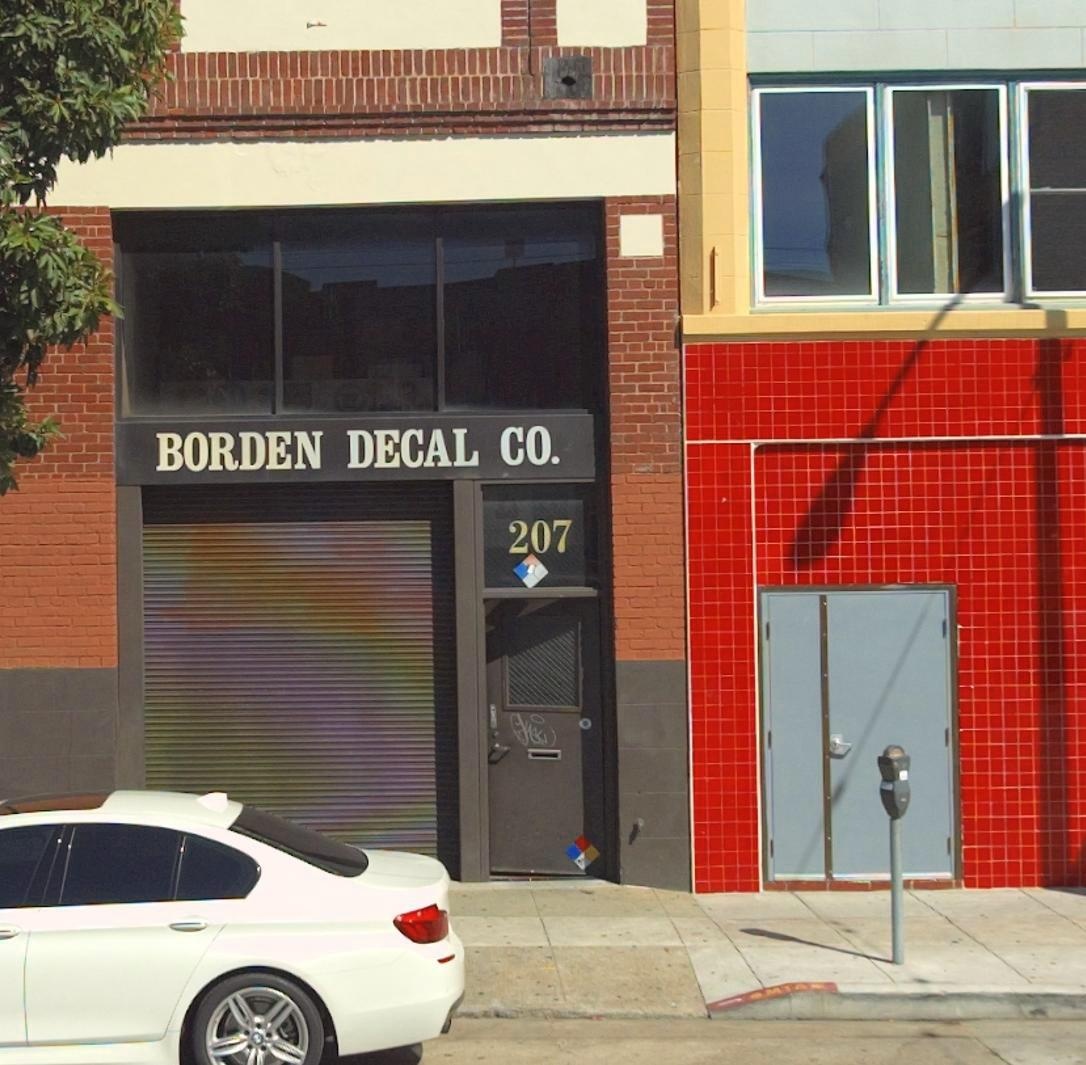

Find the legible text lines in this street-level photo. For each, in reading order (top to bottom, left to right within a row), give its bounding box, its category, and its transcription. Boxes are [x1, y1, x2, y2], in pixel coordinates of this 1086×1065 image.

[150, 421, 567, 476] BusinessName: BORDEN DECAL CO.
[504, 515, 580, 559] StreetNumber: 207
[764, 980, 812, 1000] None: MTA